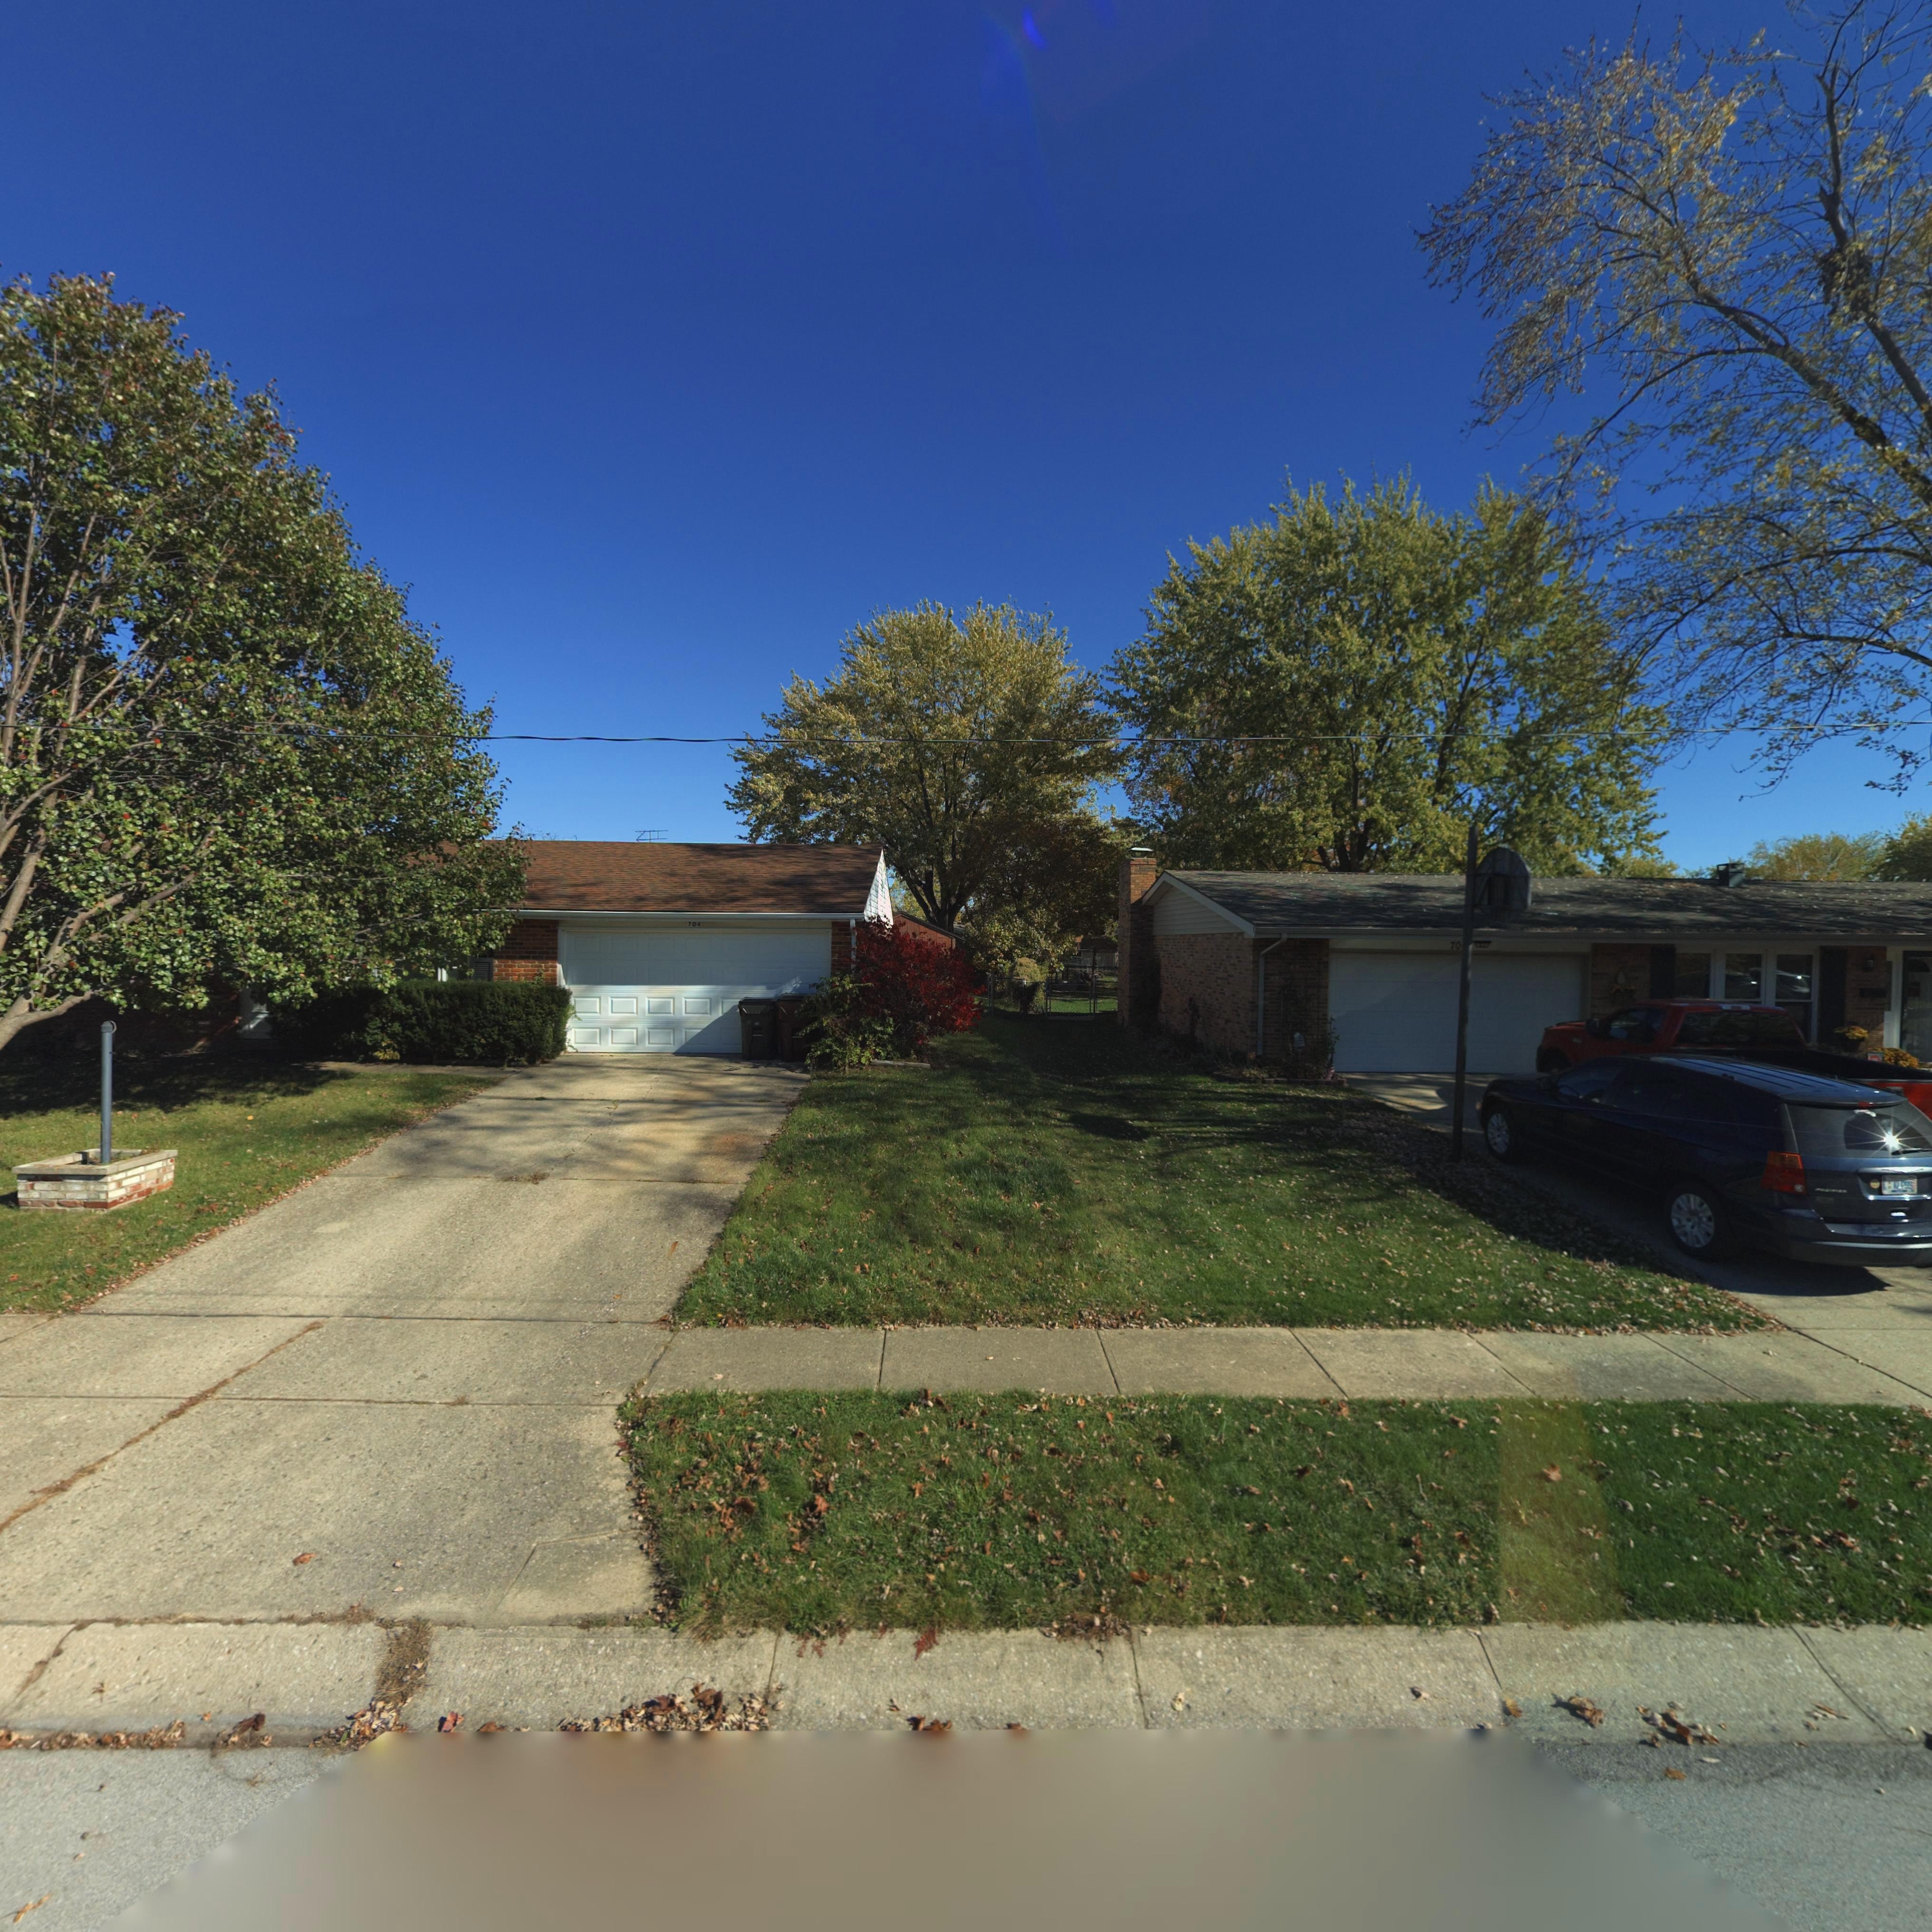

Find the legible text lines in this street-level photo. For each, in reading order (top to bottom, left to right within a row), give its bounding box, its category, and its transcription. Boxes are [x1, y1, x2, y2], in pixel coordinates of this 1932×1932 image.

[687, 921, 701, 927] StreetNumber: 704
[1450, 940, 1461, 950] StreetNumber: 70